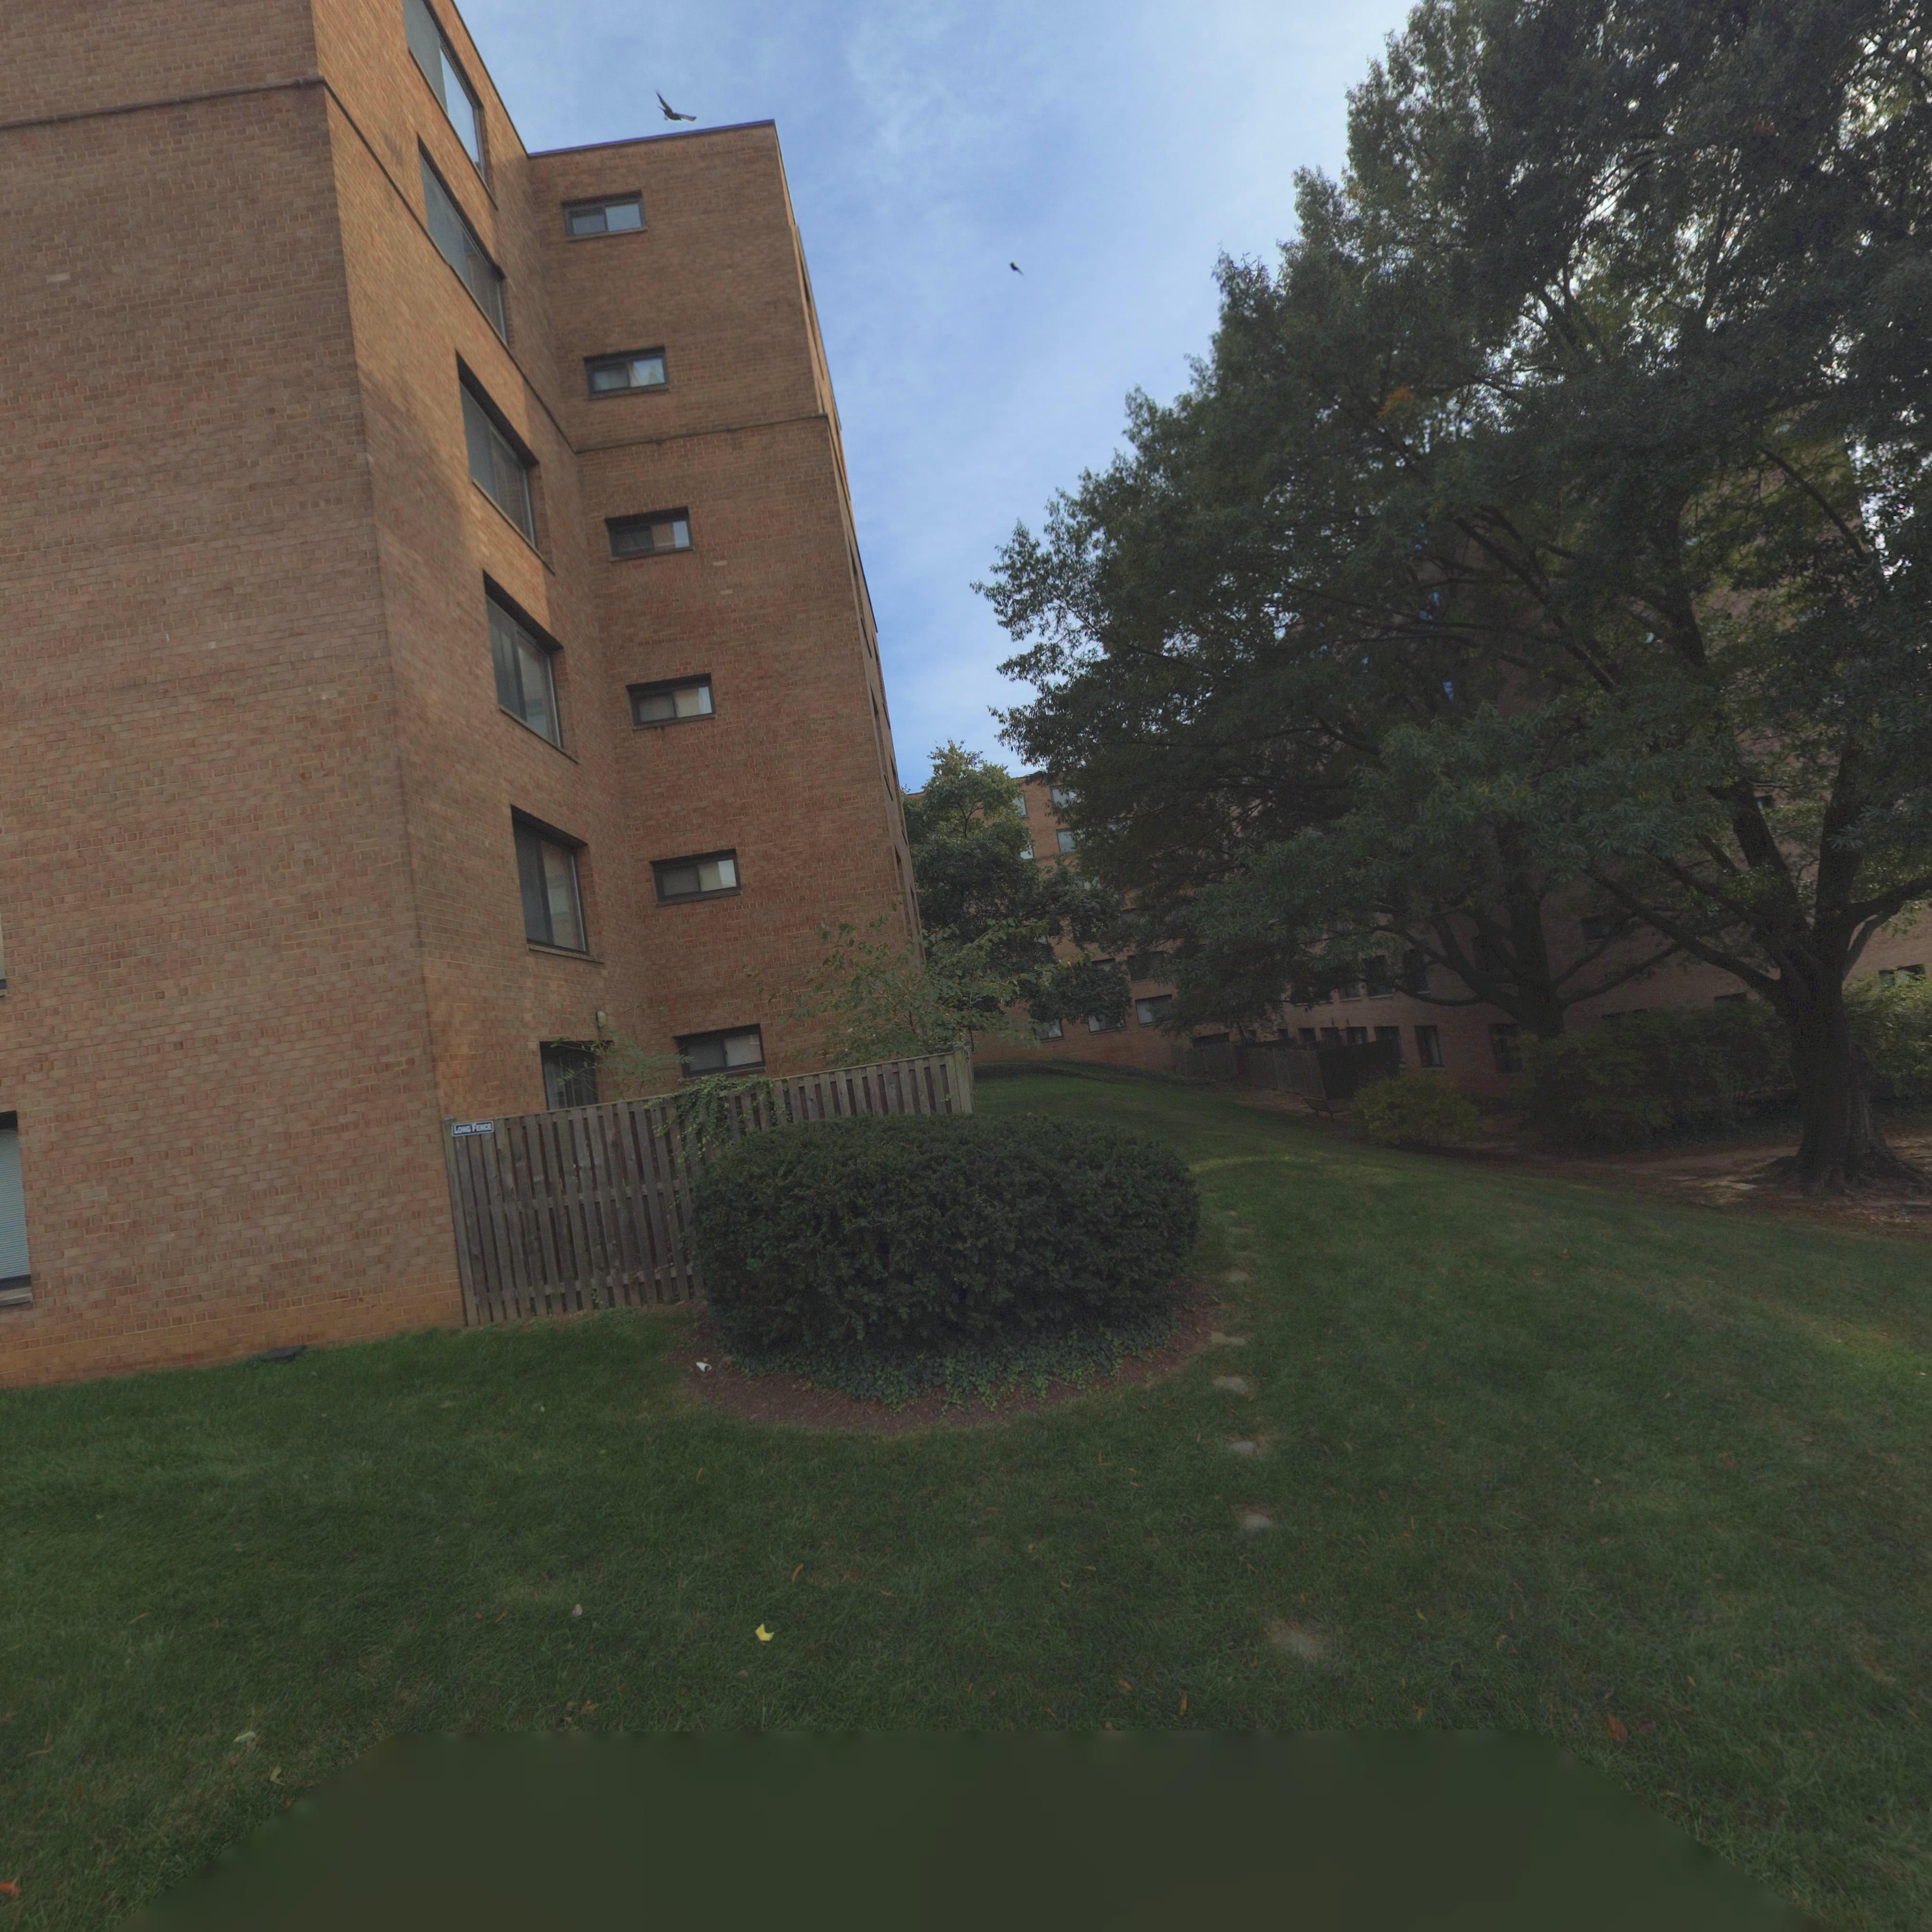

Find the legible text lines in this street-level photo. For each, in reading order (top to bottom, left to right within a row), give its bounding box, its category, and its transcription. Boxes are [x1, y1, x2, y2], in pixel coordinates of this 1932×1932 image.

[453, 1122, 492, 1135] None: LONG FENCE